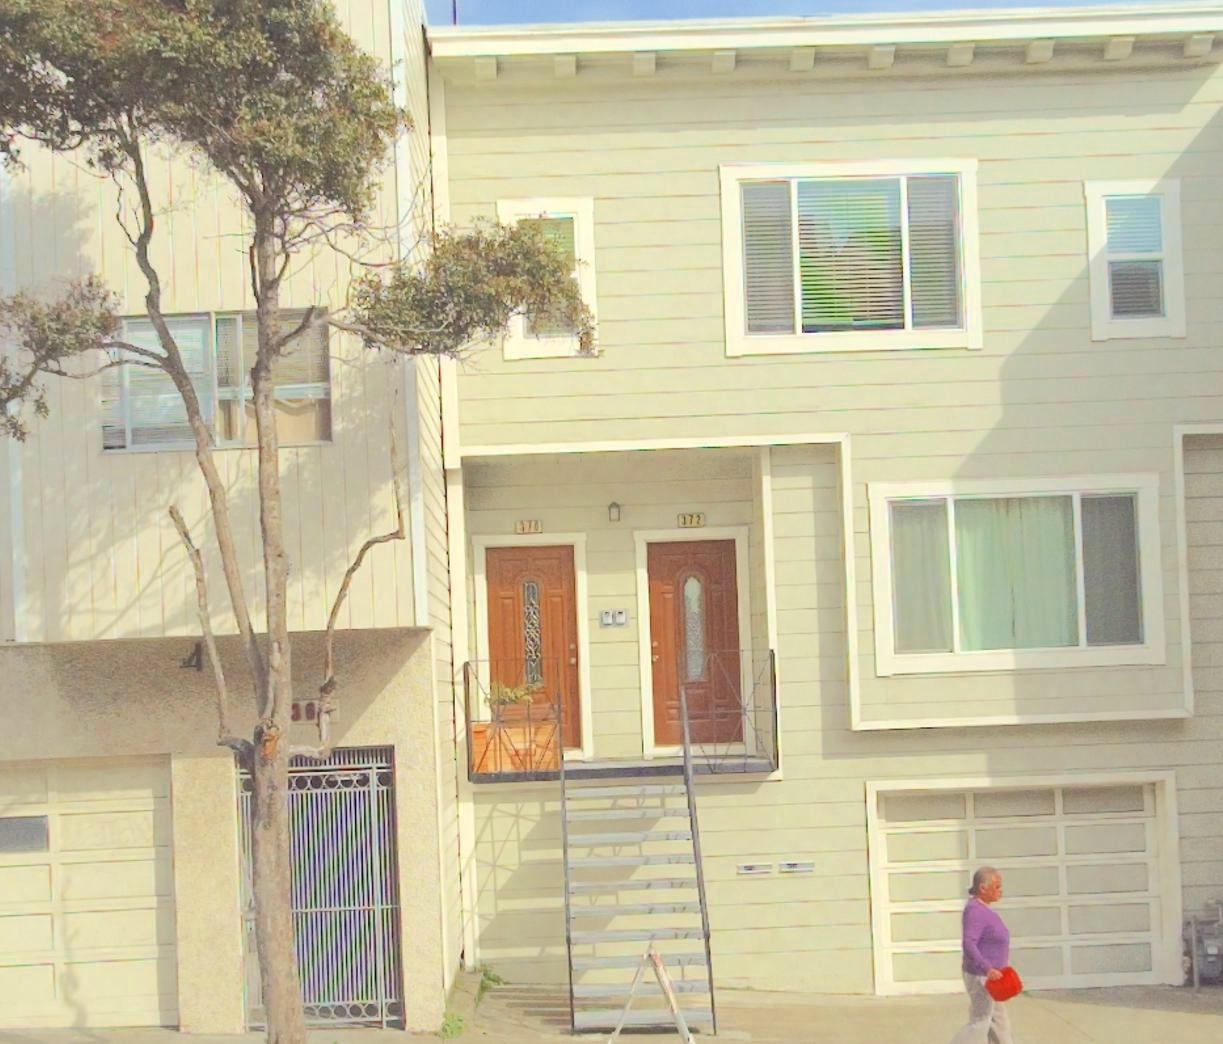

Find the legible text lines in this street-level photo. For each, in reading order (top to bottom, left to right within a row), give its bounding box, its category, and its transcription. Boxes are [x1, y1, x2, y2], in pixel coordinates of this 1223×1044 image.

[517, 519, 541, 532] StreetNumber: 370
[680, 514, 703, 526] StreetNumber: 372
[290, 701, 317, 721] StreetNumber: 36